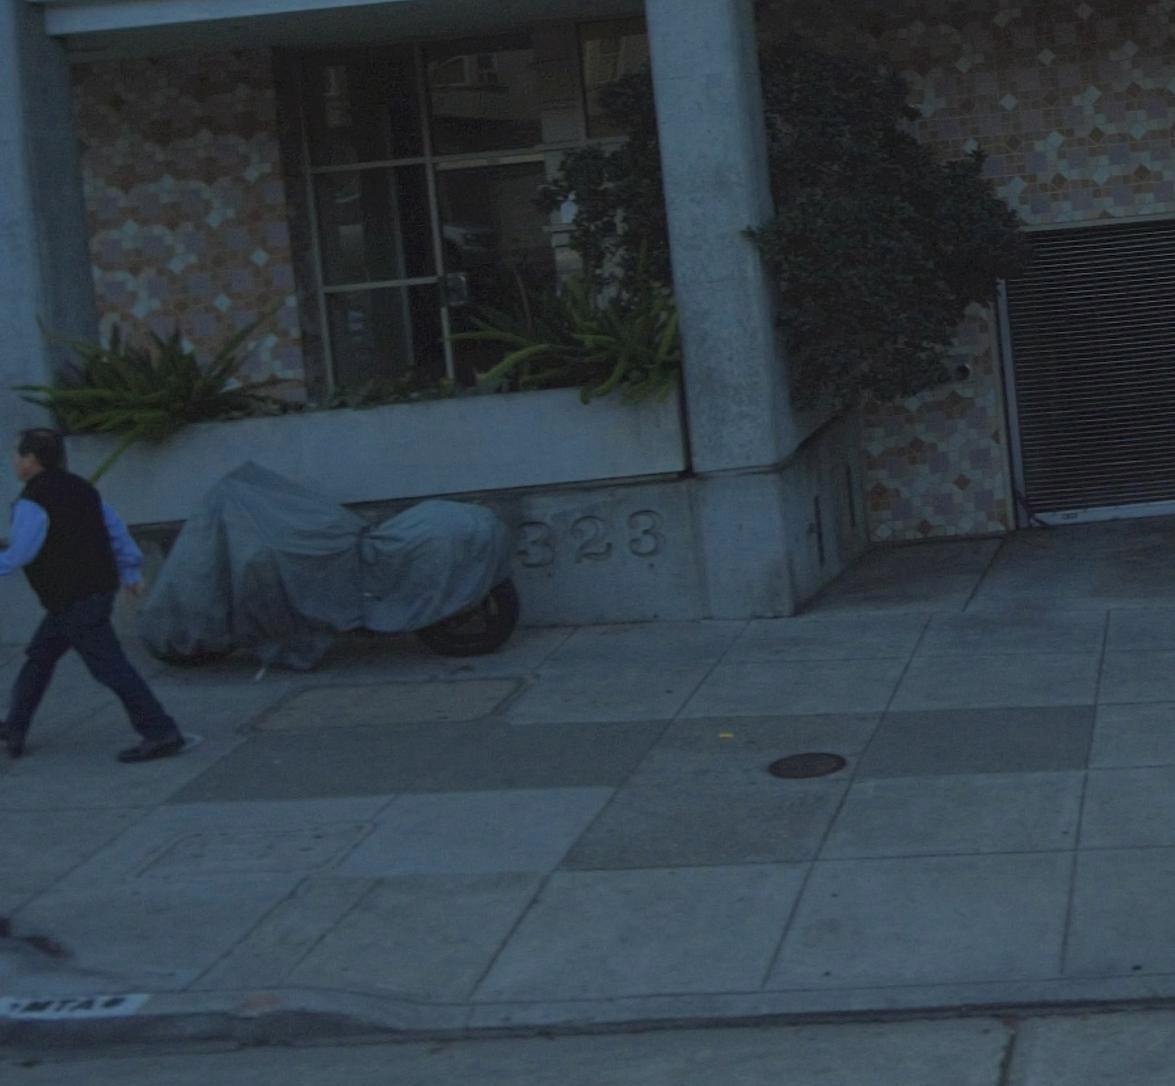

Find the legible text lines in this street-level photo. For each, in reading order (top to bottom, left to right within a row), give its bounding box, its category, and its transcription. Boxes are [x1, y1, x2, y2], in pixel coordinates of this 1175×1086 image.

[505, 502, 671, 576] StreetNumber: 323
[16, 993, 101, 1018] None: MTA